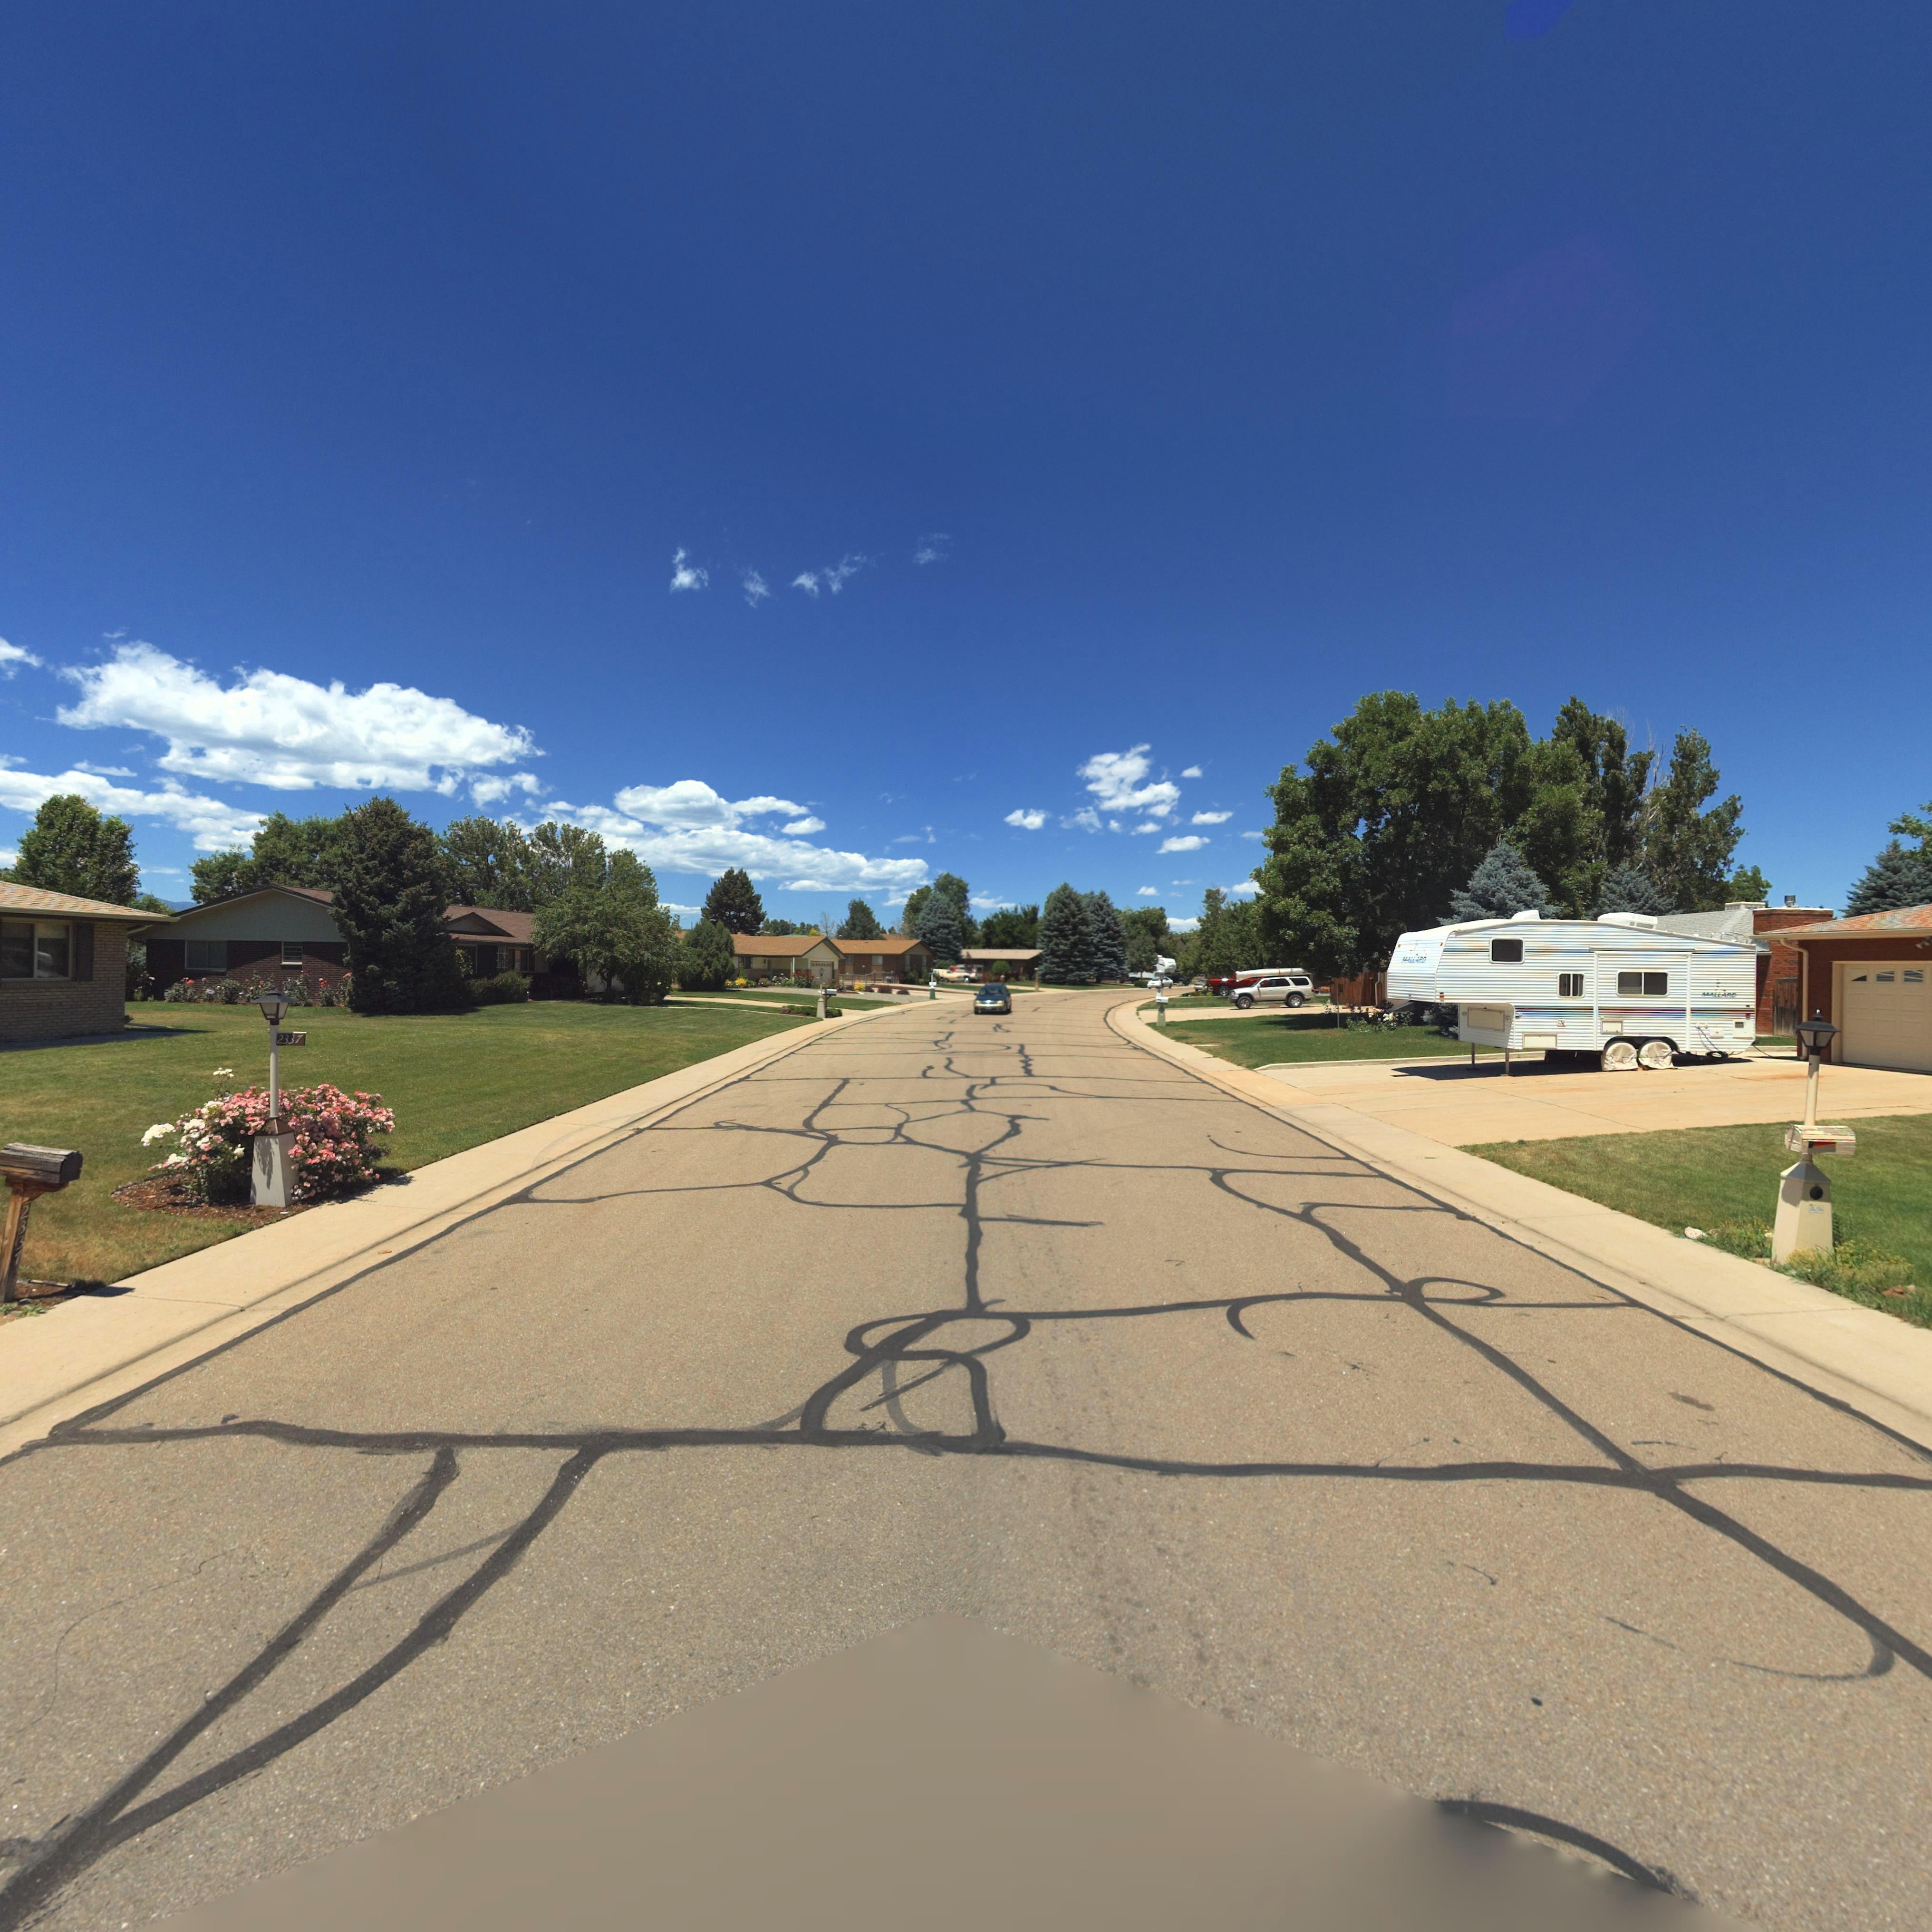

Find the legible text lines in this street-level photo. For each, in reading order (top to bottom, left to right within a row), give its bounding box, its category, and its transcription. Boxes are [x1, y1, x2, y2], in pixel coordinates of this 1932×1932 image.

[276, 1034, 304, 1045] StreetNumber: 2337
[13, 1204, 30, 1265] StreetNumber: 2337